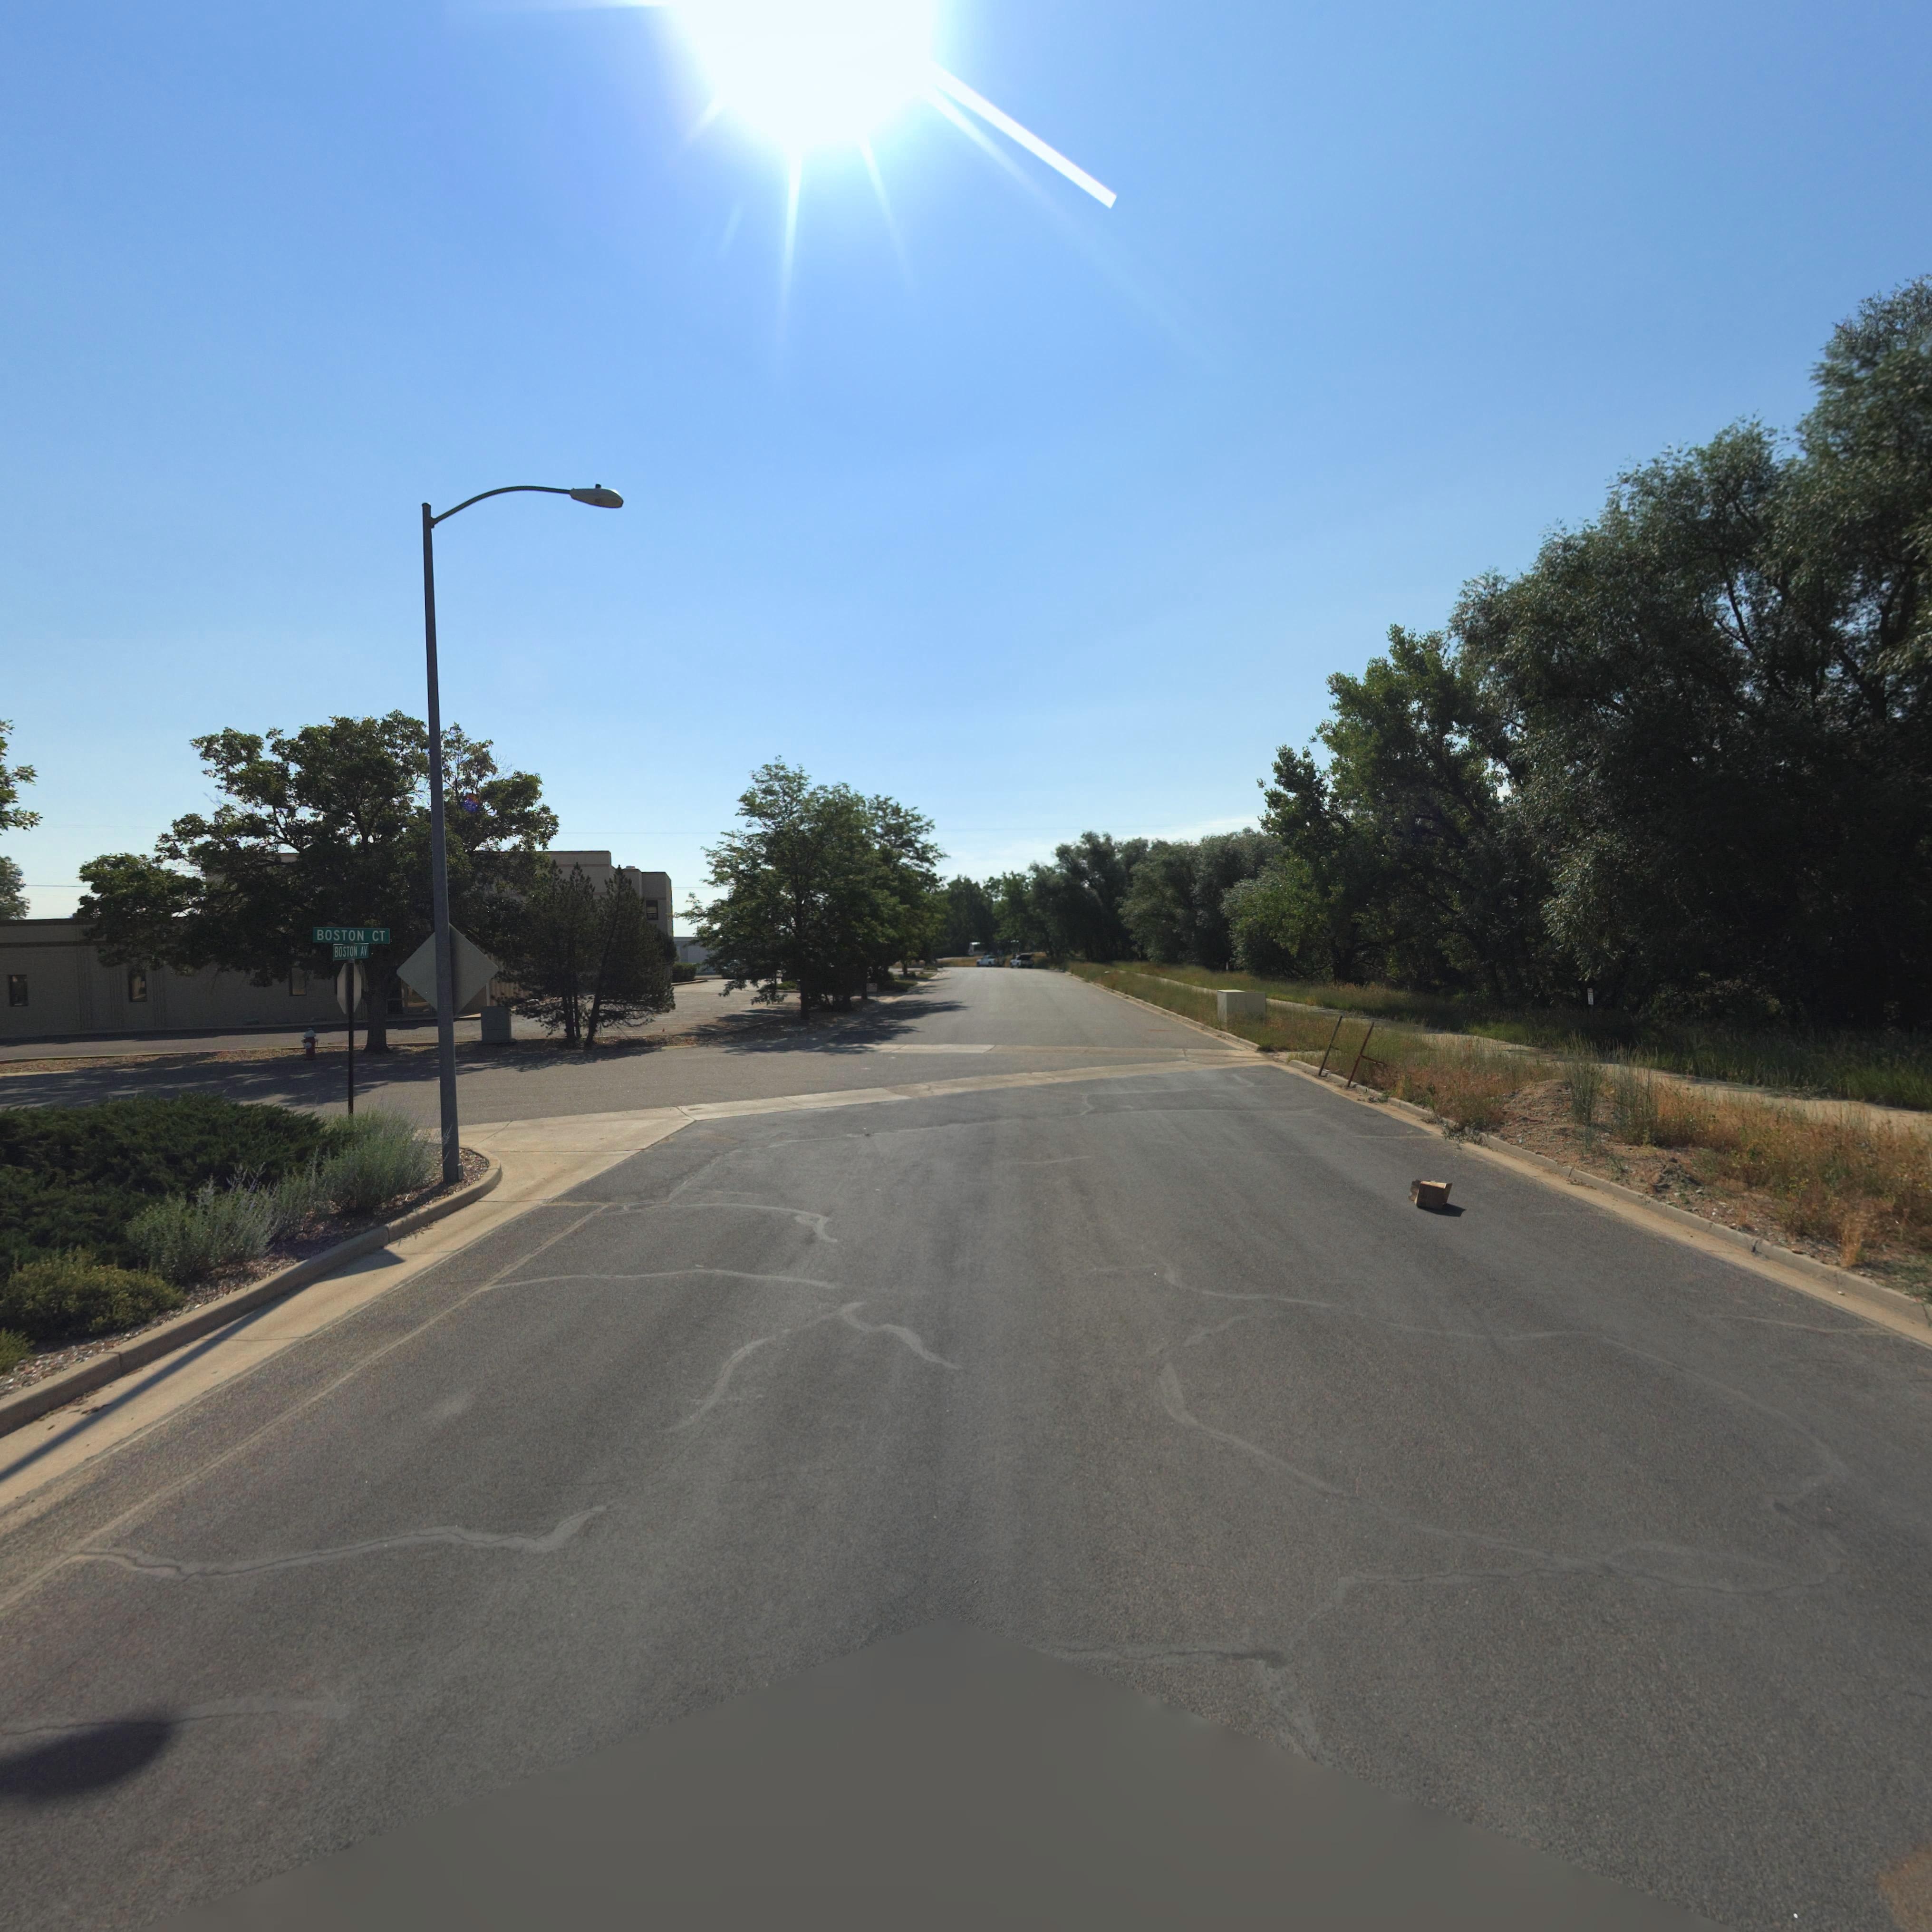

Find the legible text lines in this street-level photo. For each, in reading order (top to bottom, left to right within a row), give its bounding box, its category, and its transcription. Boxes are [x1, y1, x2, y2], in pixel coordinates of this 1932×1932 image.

[316, 929, 386, 941] StreetName: BOSTON CT
[334, 946, 368, 958] StreetName: BOSTON AV